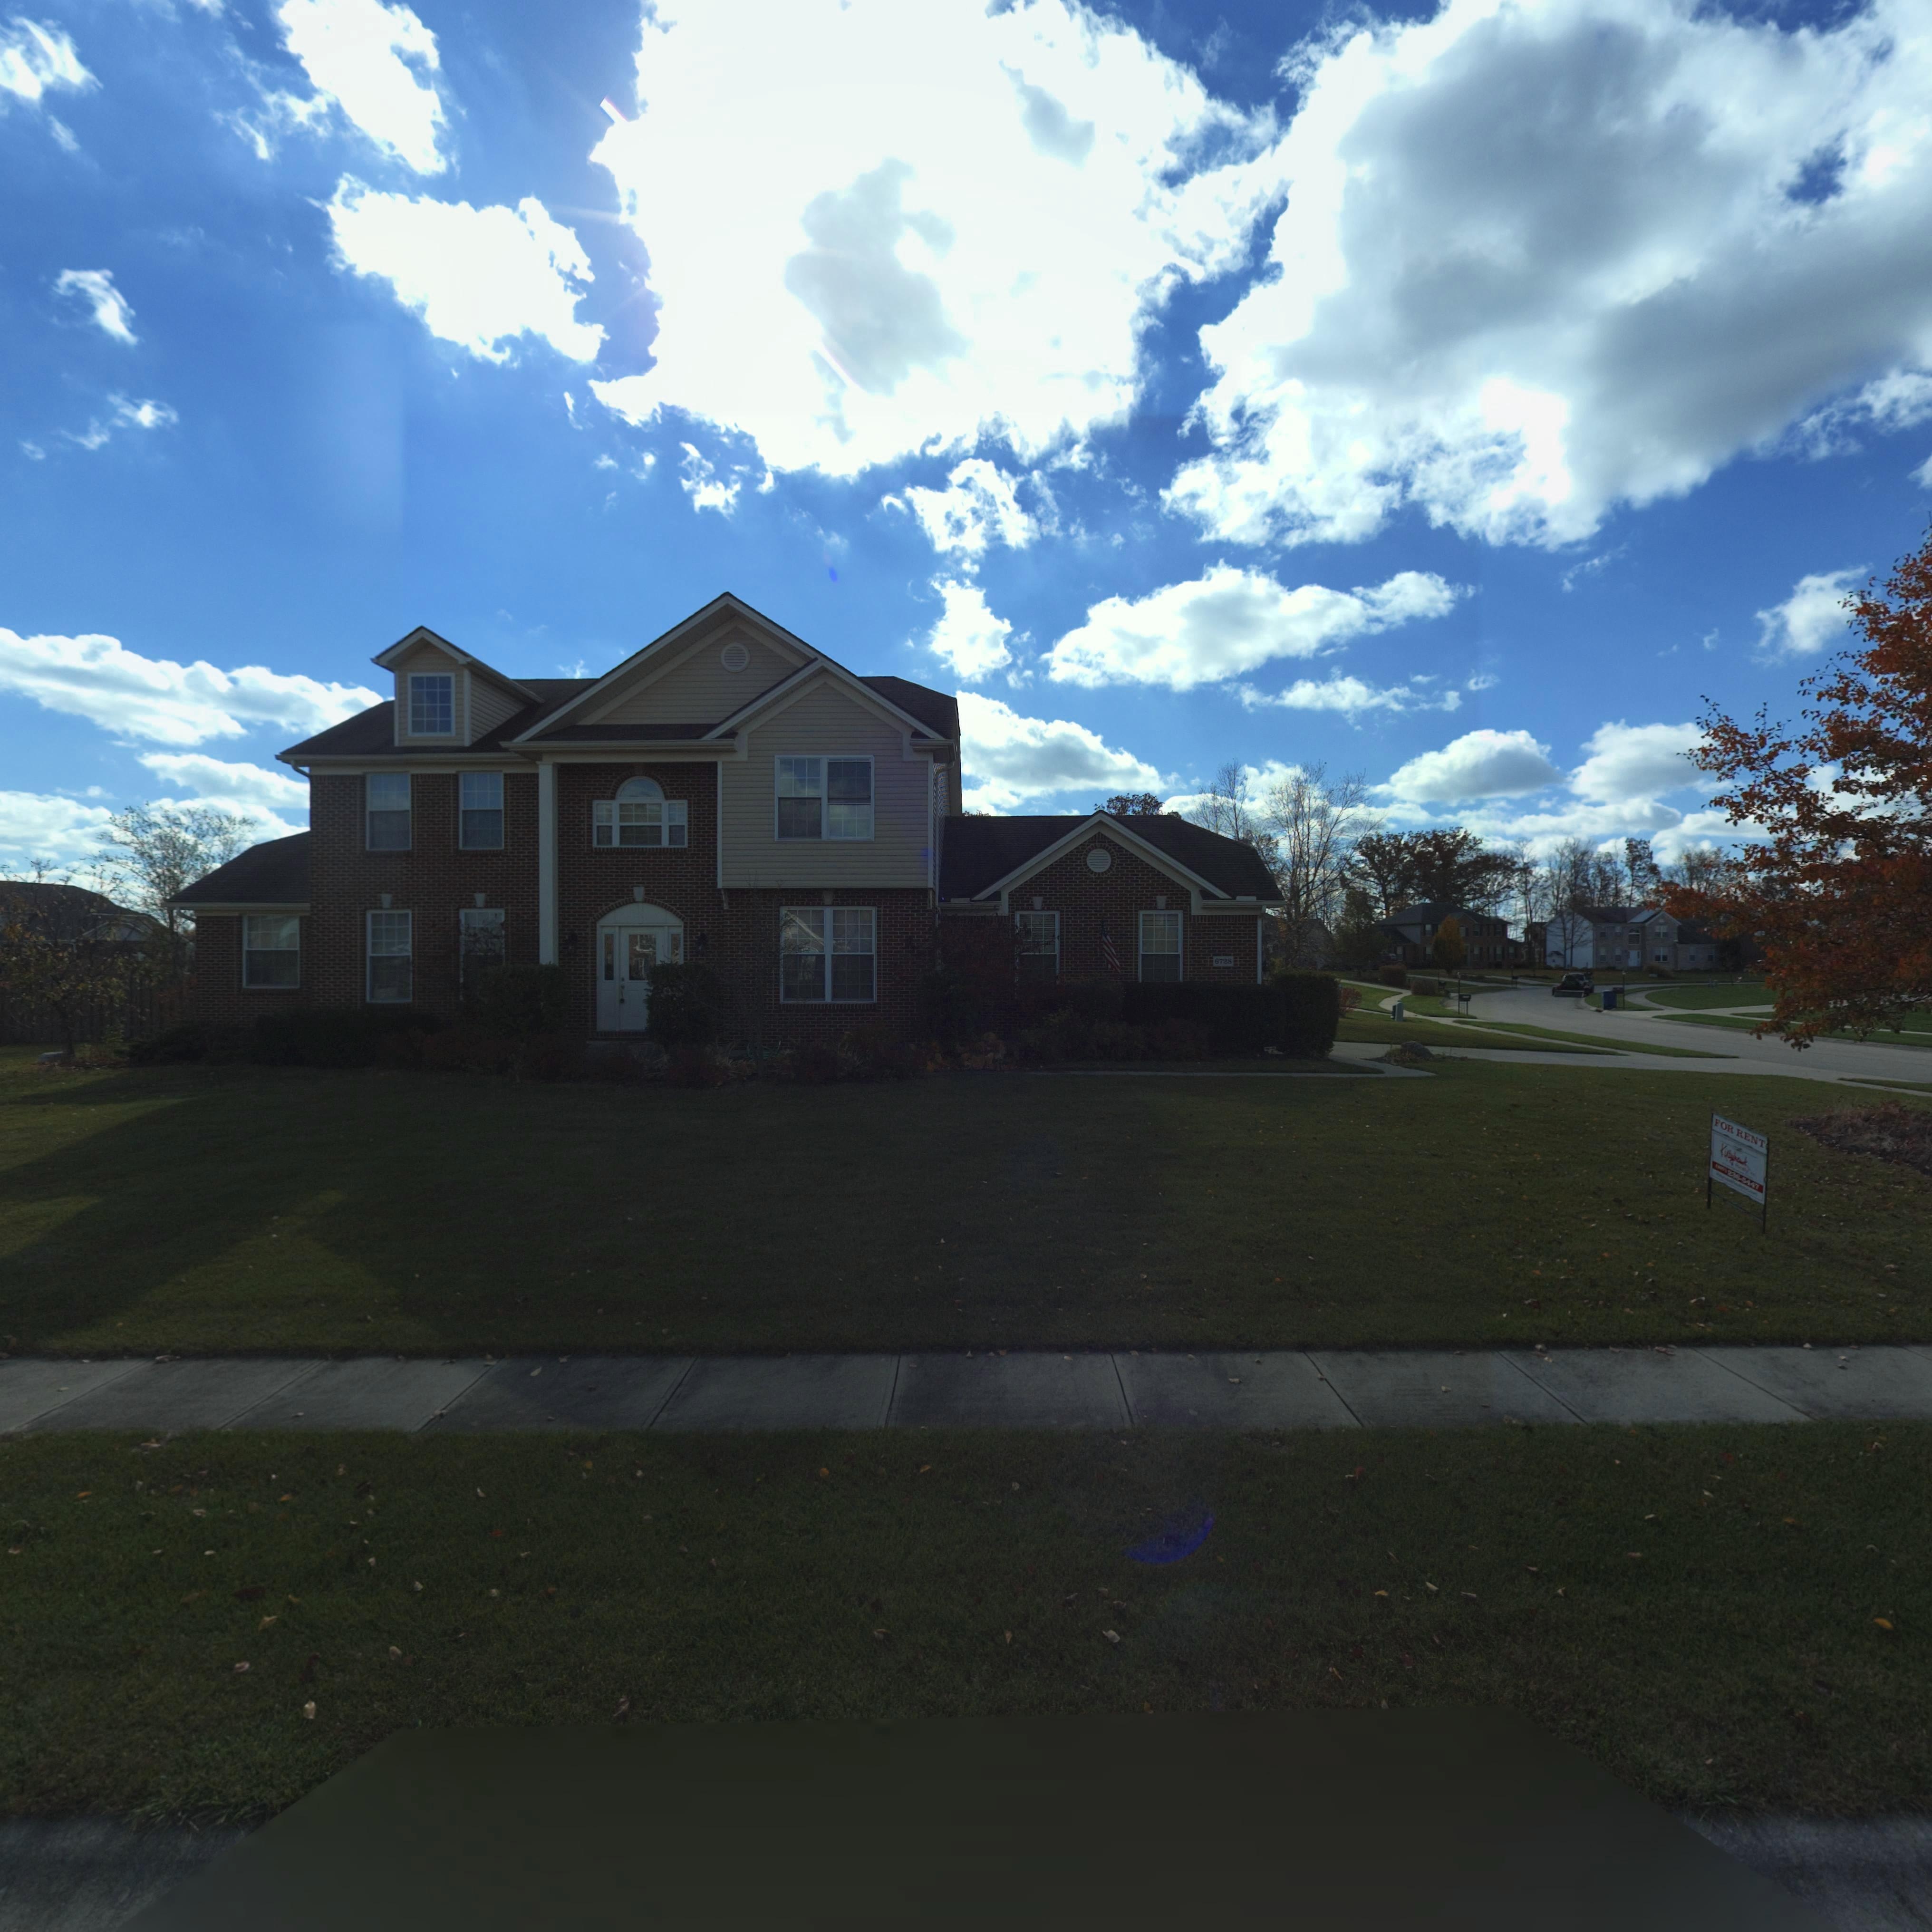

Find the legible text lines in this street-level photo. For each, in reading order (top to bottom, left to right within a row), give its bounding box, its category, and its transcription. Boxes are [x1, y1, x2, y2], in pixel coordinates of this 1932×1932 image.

[1214, 957, 1233, 965] StreetNumber: 6728